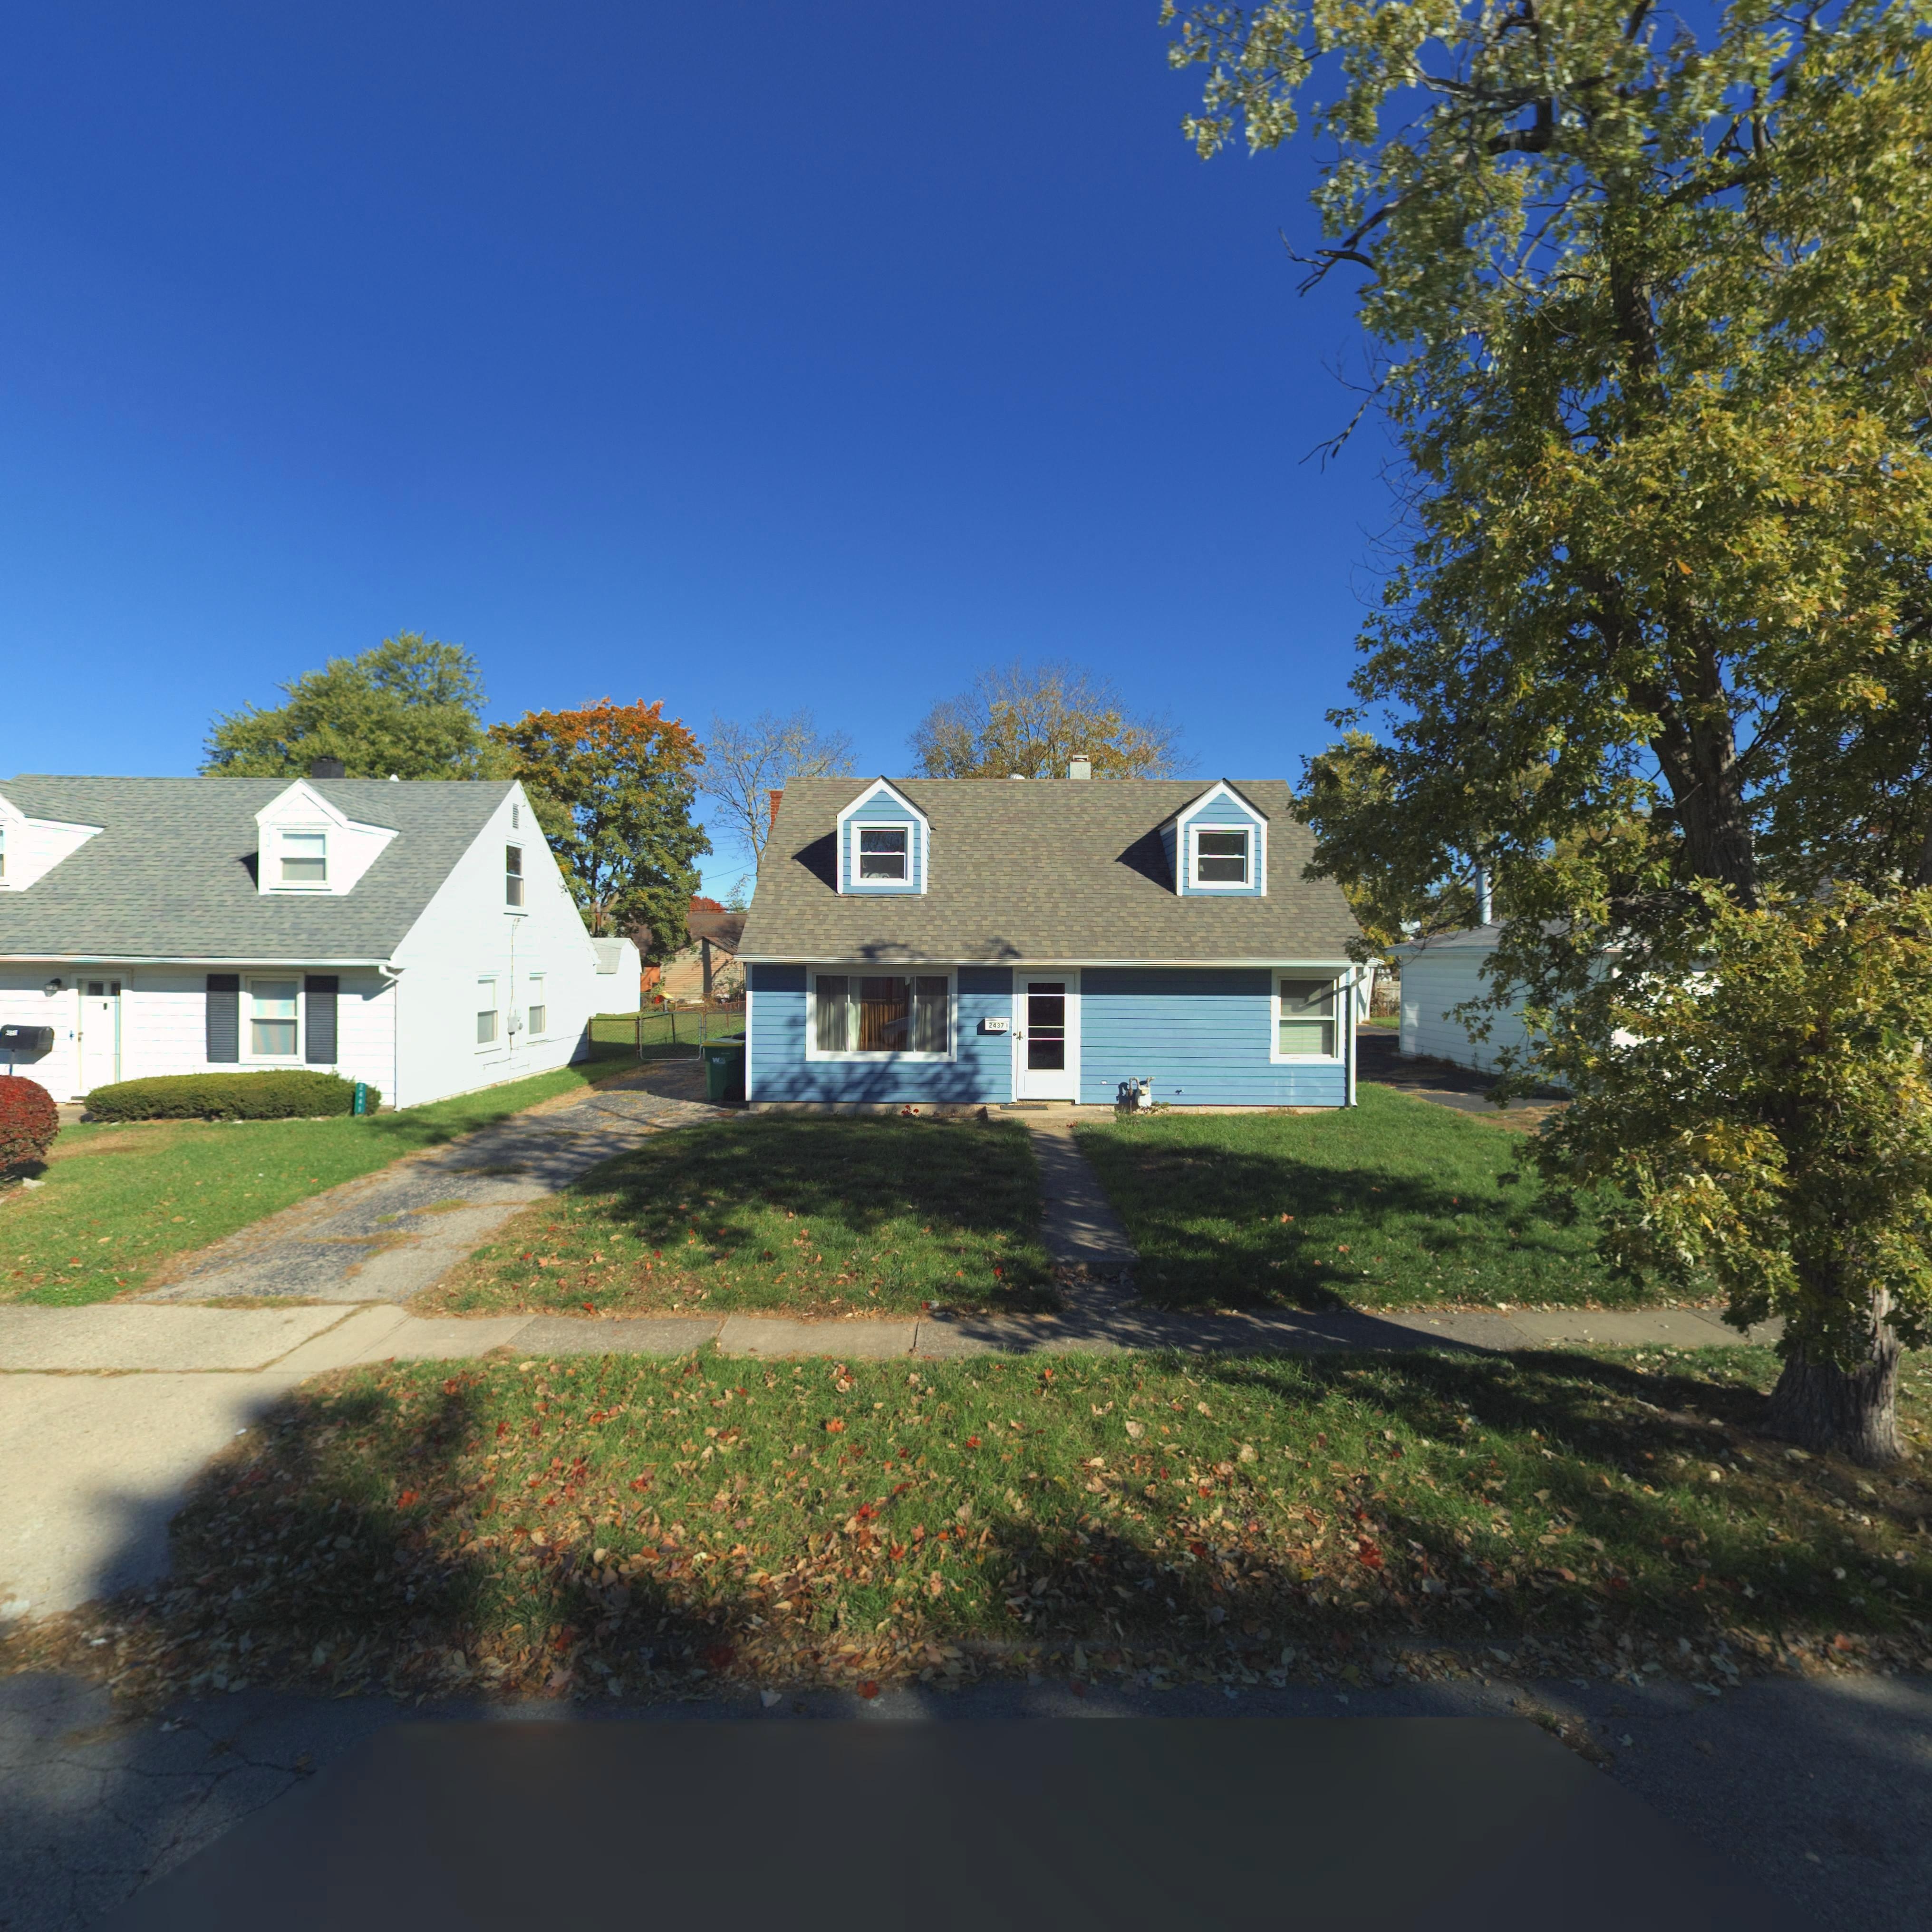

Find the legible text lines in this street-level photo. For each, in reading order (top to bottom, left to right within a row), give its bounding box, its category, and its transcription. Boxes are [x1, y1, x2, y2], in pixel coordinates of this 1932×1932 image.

[988, 1022, 1005, 1029] StreetNumber: 2437
[357, 1083, 365, 1113] StreetNumber: 2441